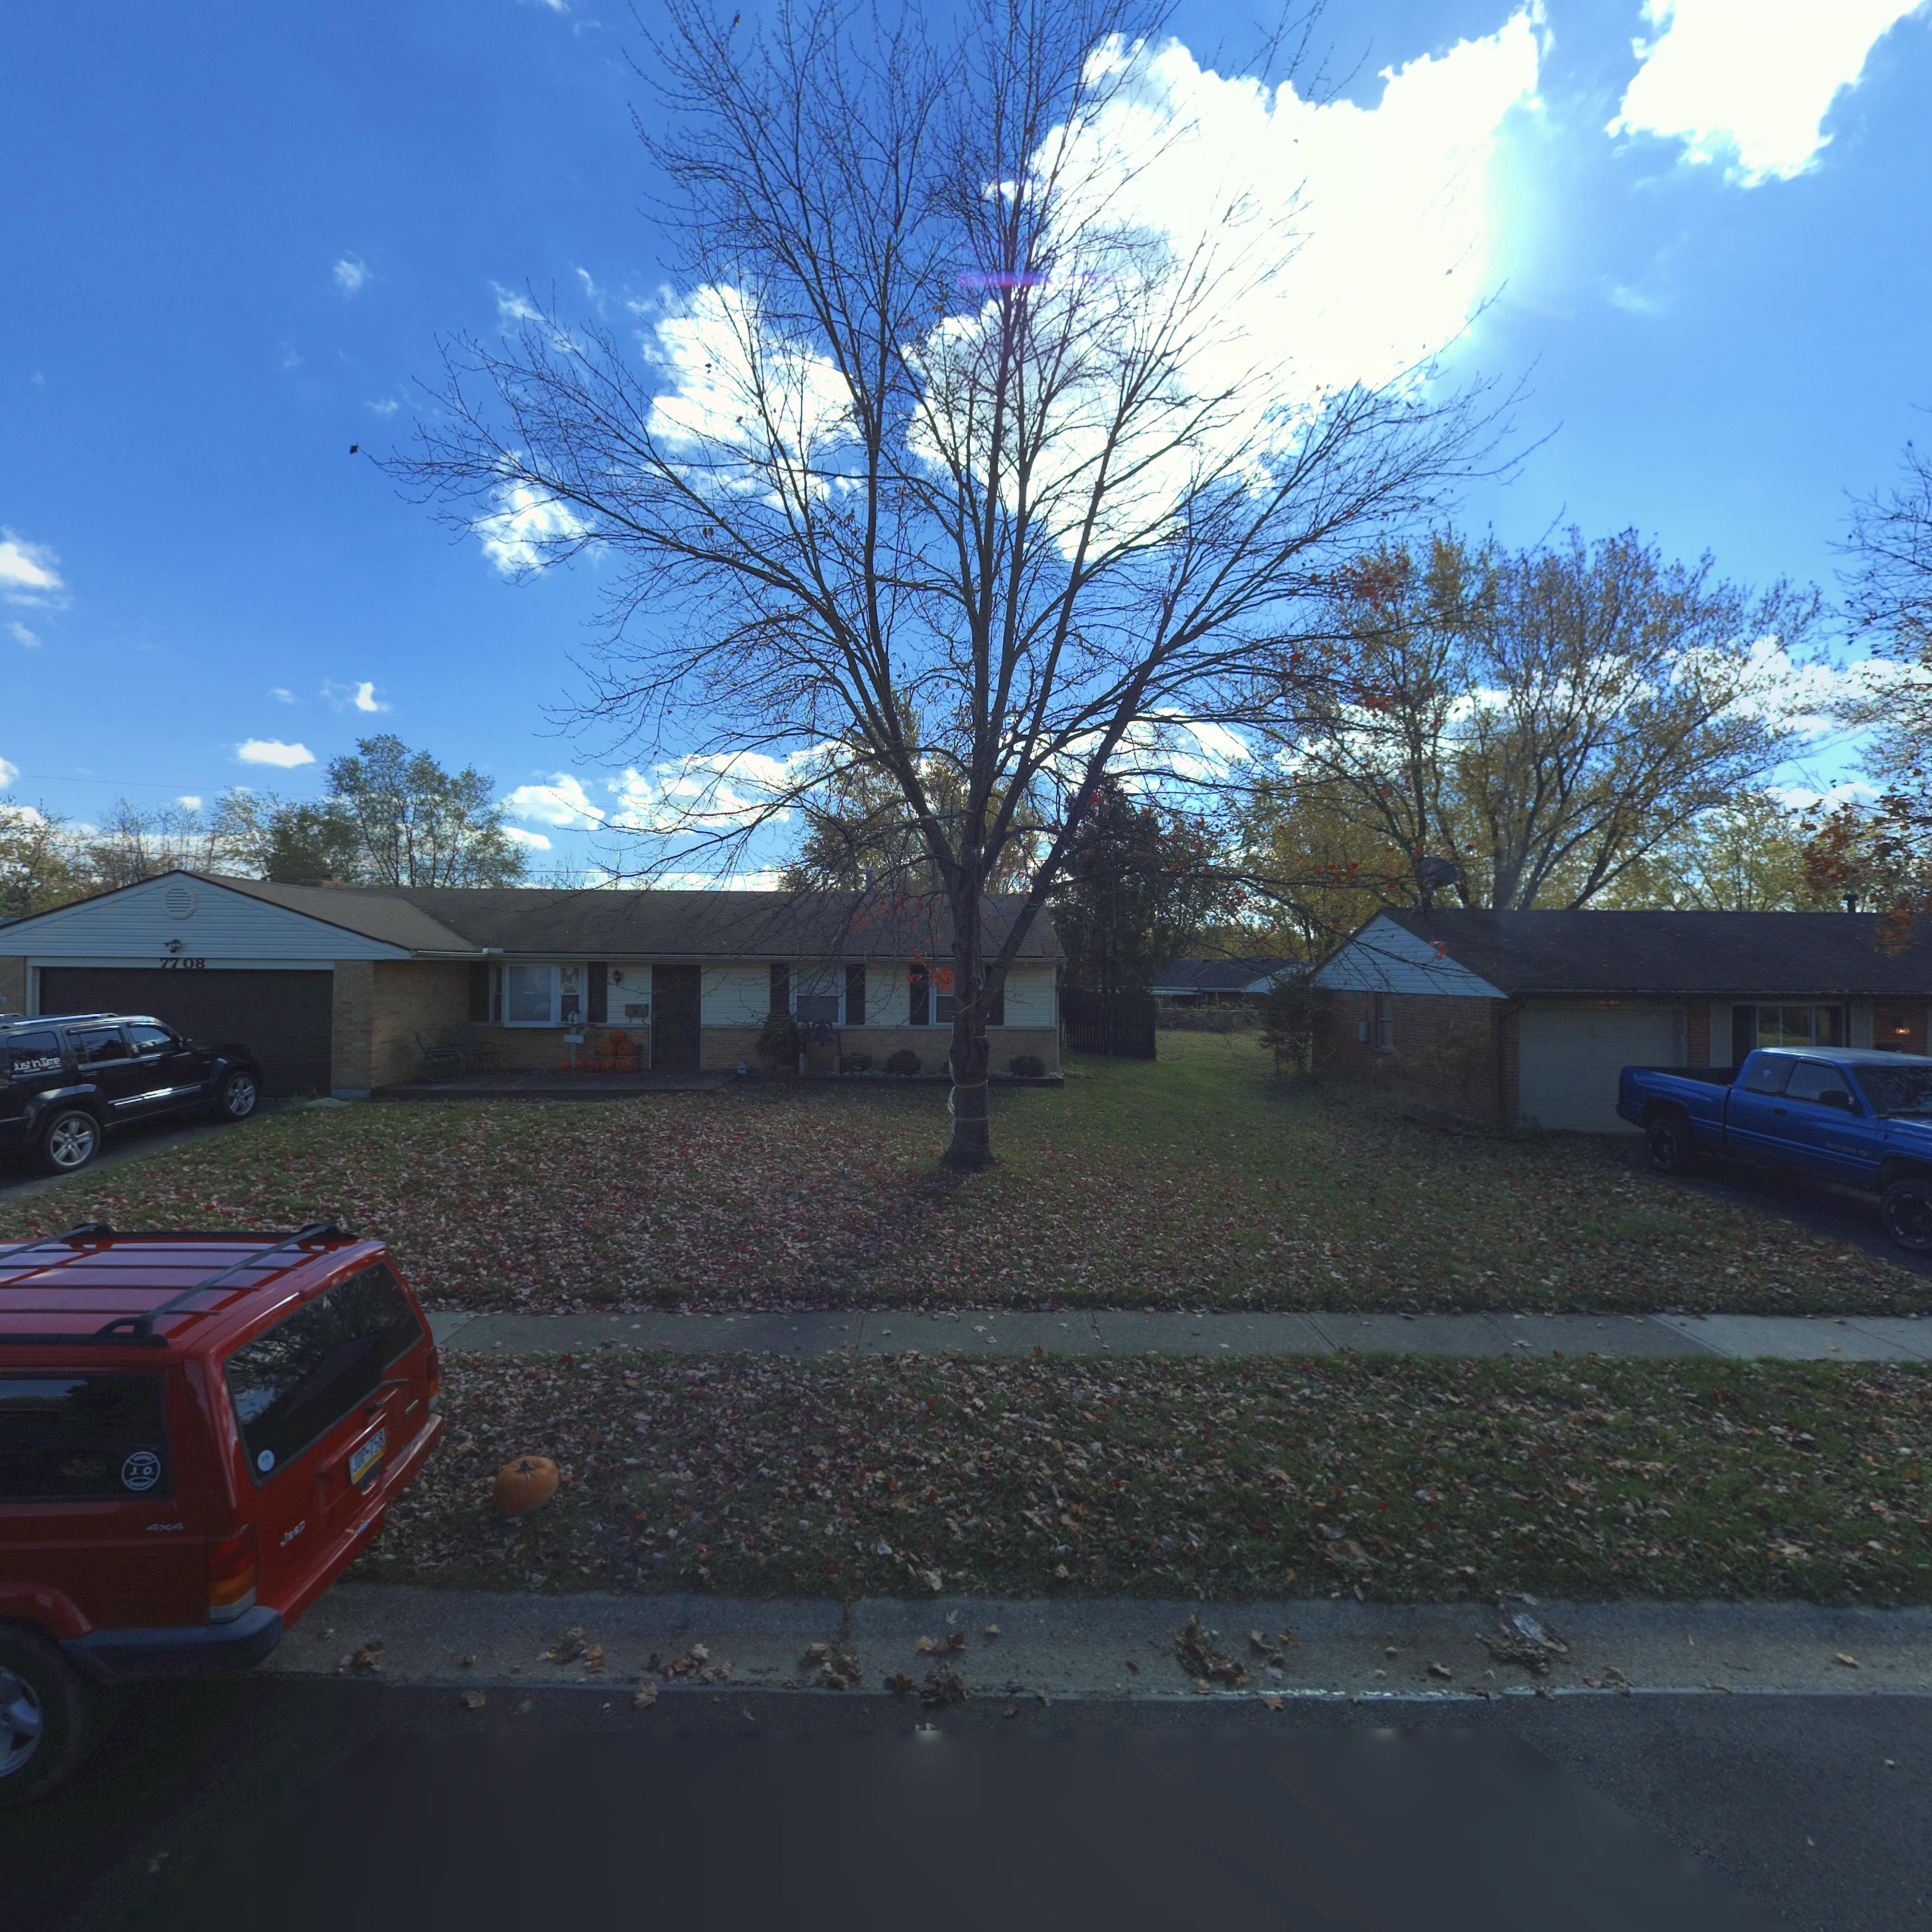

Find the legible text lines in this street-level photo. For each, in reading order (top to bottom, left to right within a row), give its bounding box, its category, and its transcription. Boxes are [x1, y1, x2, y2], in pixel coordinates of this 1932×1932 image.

[159, 957, 204, 968] StreetNumber: 7708
[1648, 997, 1674, 1007] StreetNumber: 7700